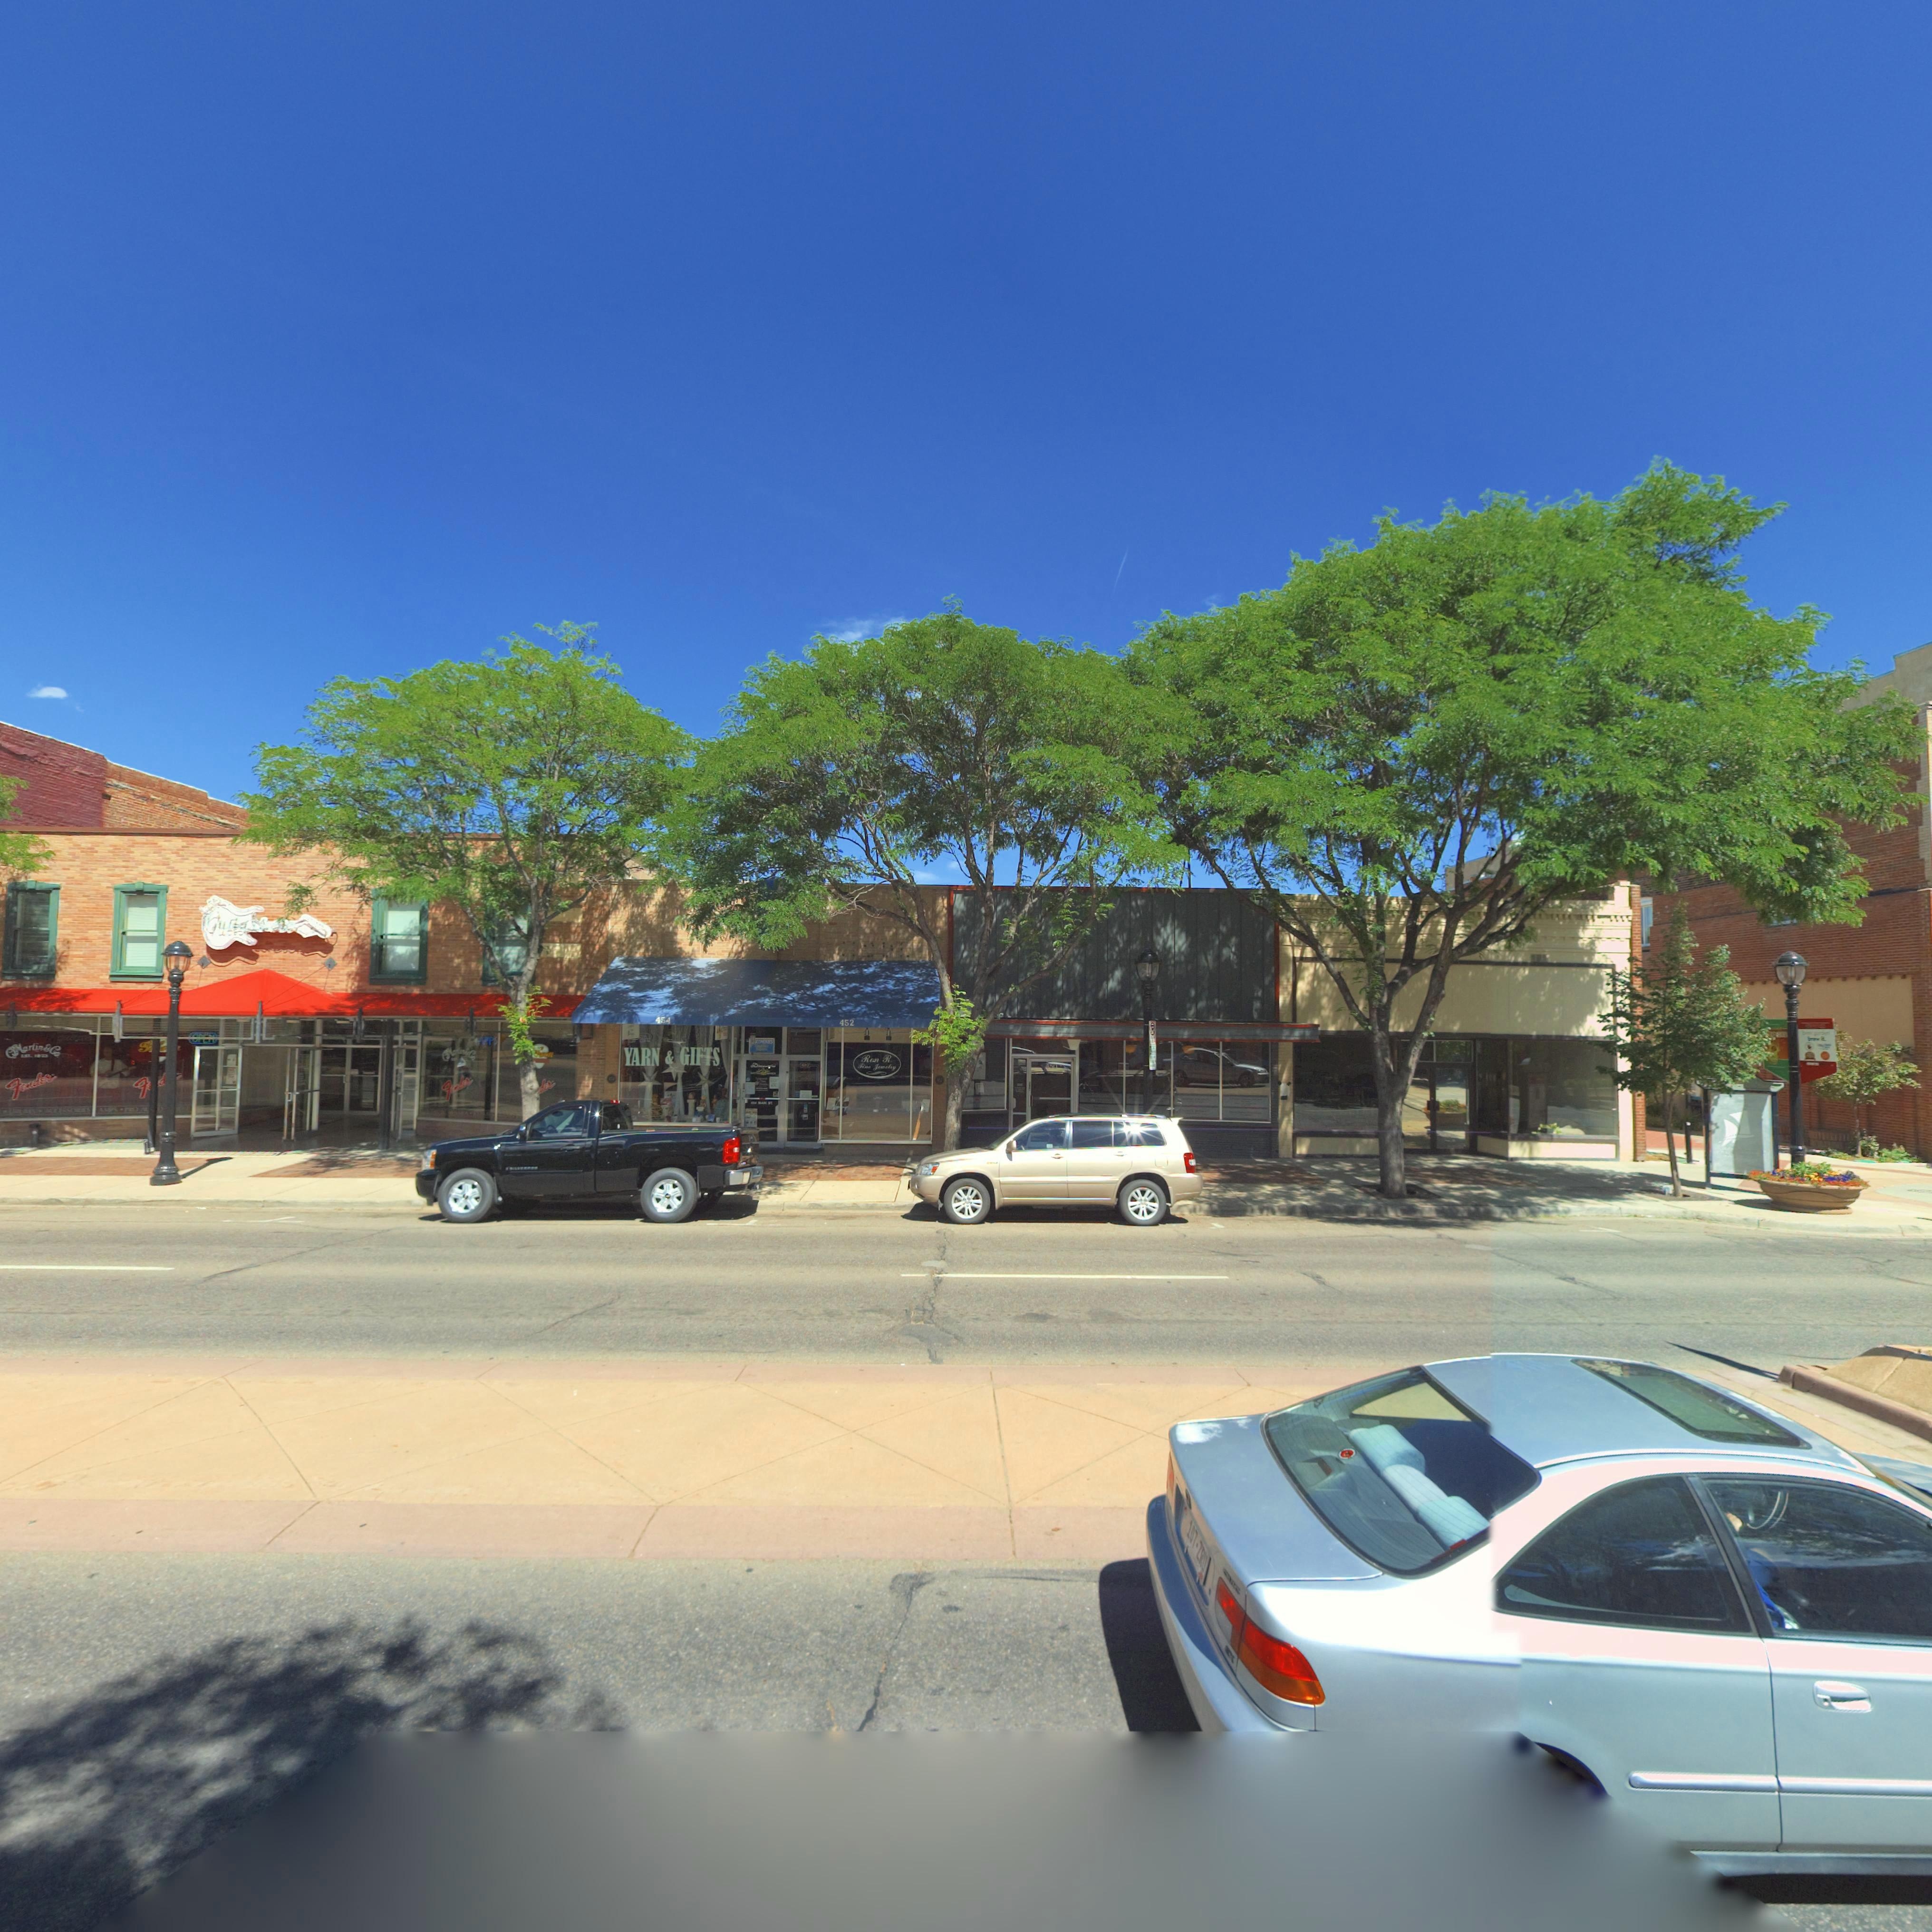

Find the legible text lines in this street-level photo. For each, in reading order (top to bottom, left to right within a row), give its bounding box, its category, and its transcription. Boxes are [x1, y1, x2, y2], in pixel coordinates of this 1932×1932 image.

[203, 910, 268, 935] BusinessName: Guitars
[655, 1016, 670, 1024] StreetNumber: 454
[839, 1019, 854, 1026] StreetNumber: 452
[9, 1042, 63, 1059] BusinessName: Martin&Go
[860, 1054, 892, 1063] BusinessName: *Ron R.
[801, 1063, 809, 1066] StreetNumber: 452
[857, 1063, 897, 1071] BusinessName: Fine Jewelry
[1045, 1063, 1057, 1069] StreetNumber: *50
[757, 1101, 773, 1104] StreetName: MAIN ST